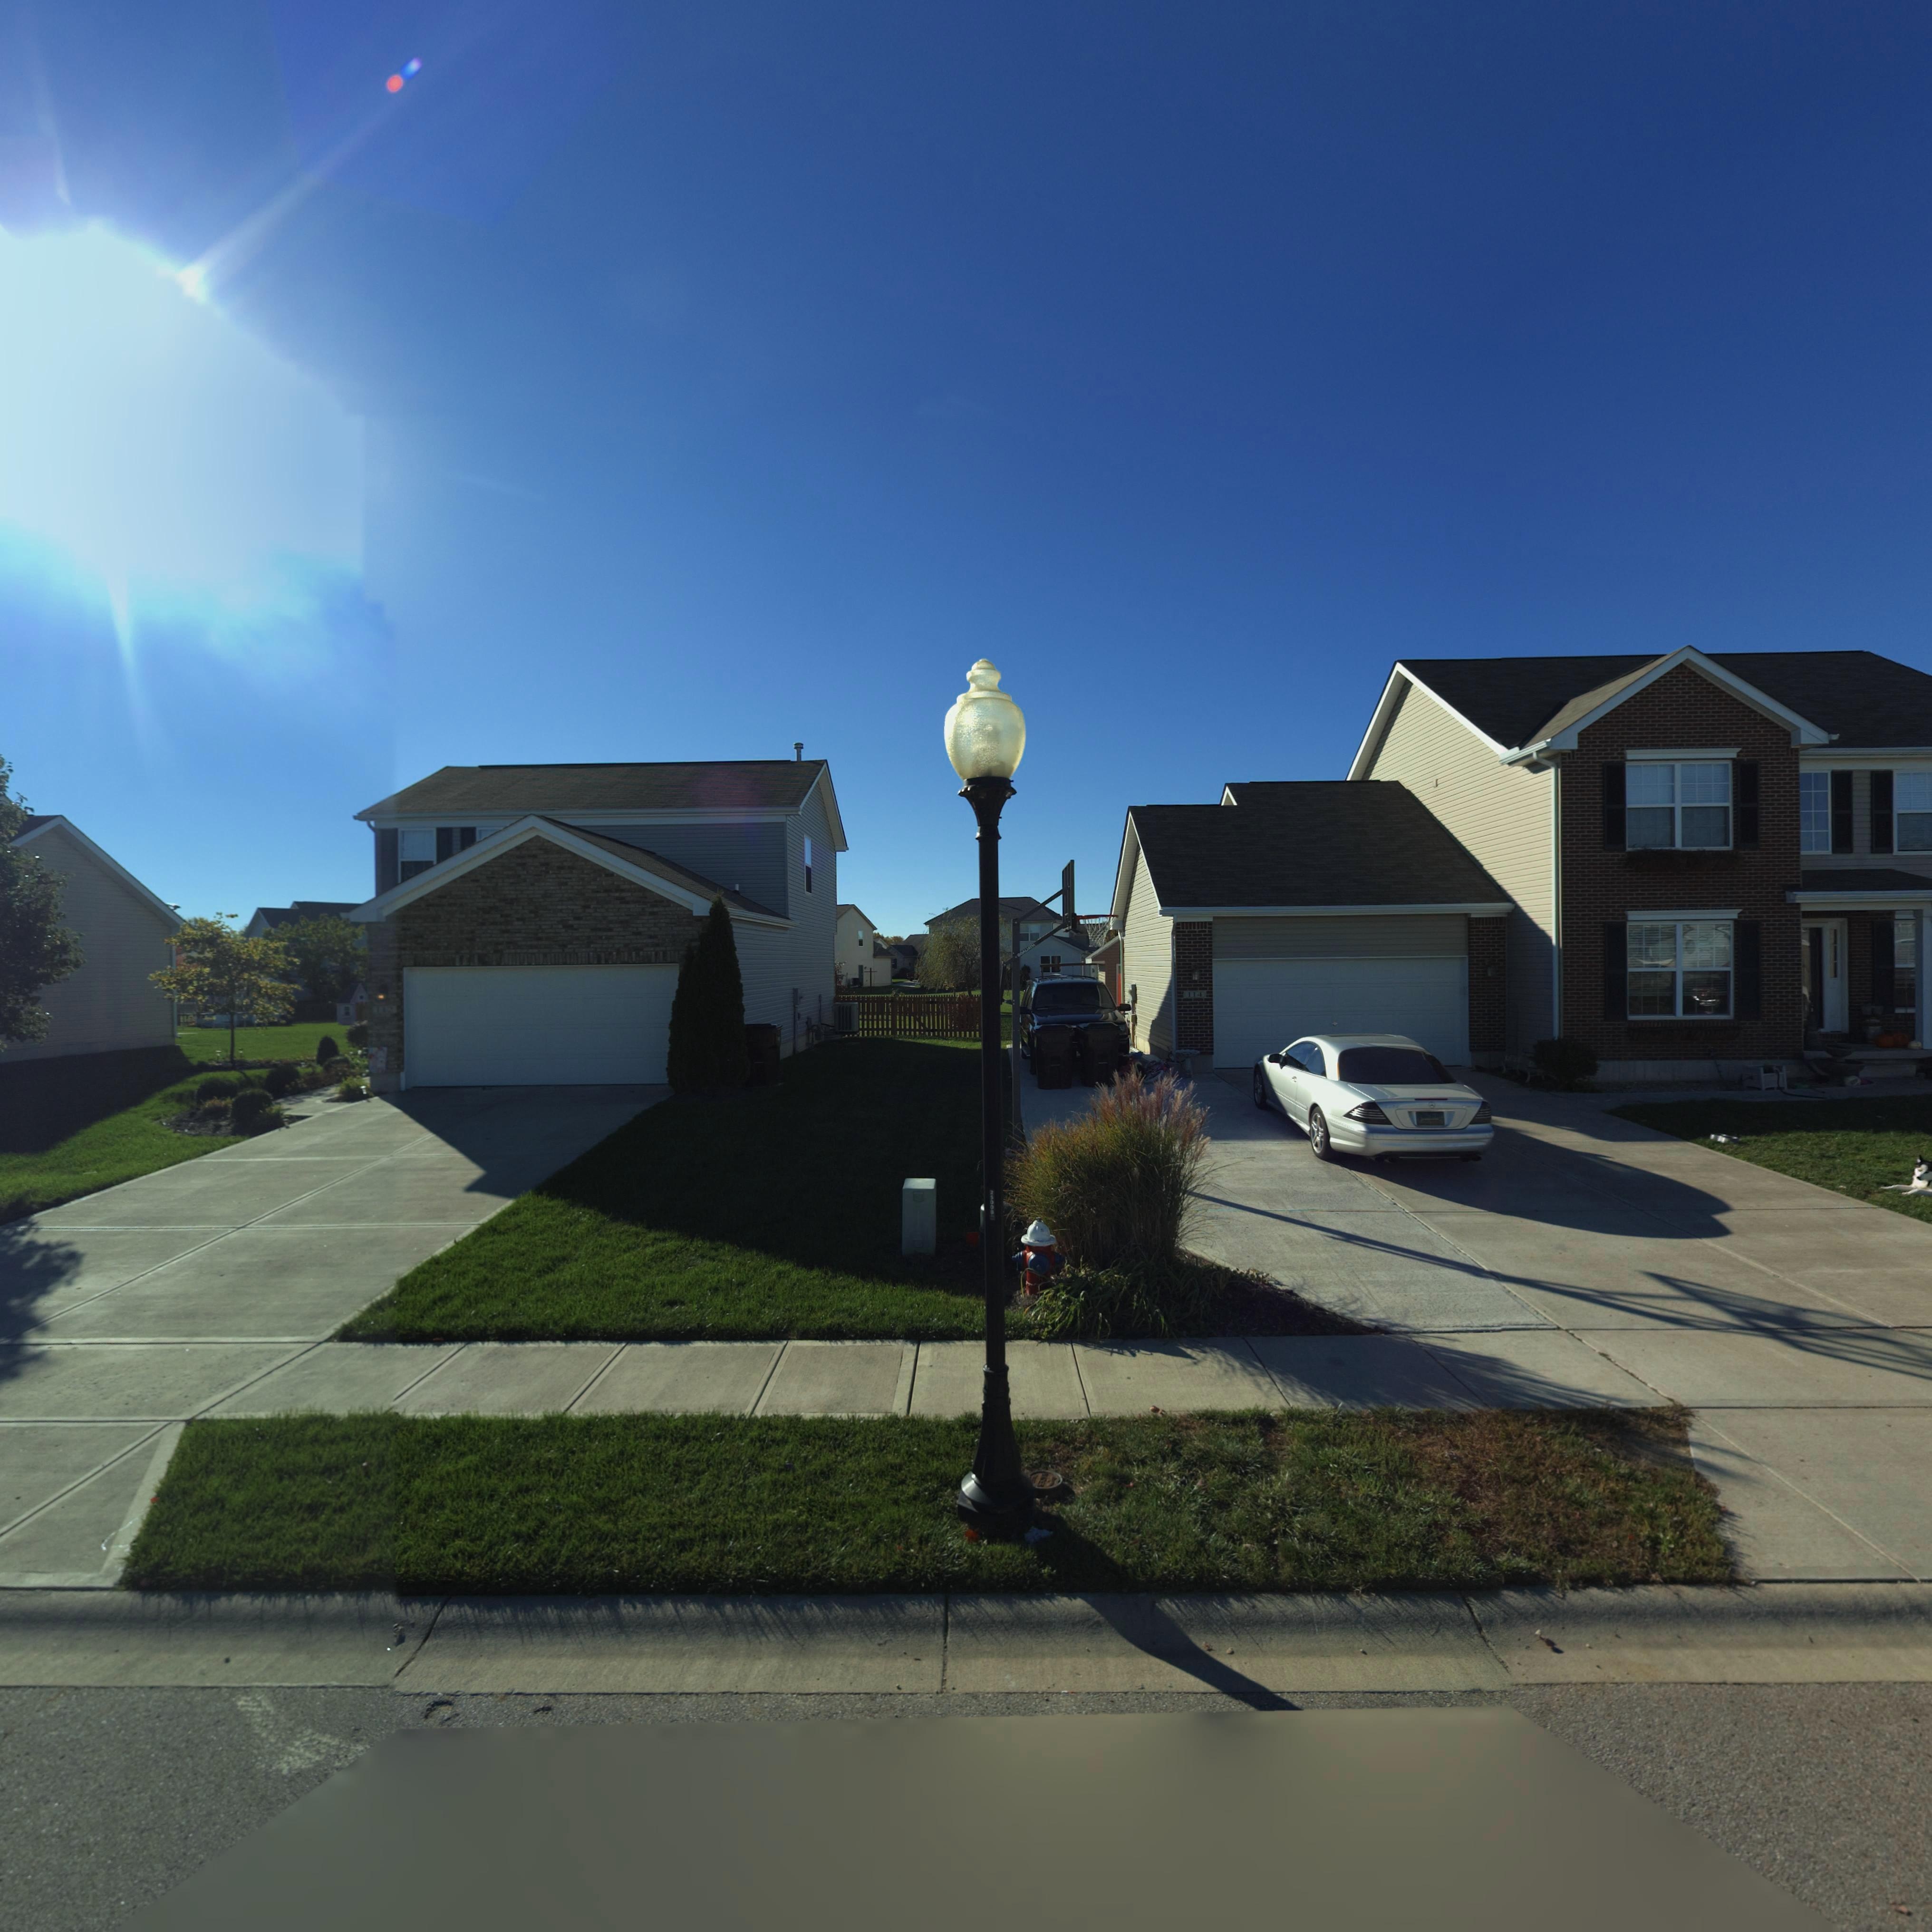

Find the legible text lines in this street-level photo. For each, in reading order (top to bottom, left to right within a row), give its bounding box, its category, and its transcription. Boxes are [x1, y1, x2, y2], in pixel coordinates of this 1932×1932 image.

[1187, 991, 1203, 998] StreetNumber: 114